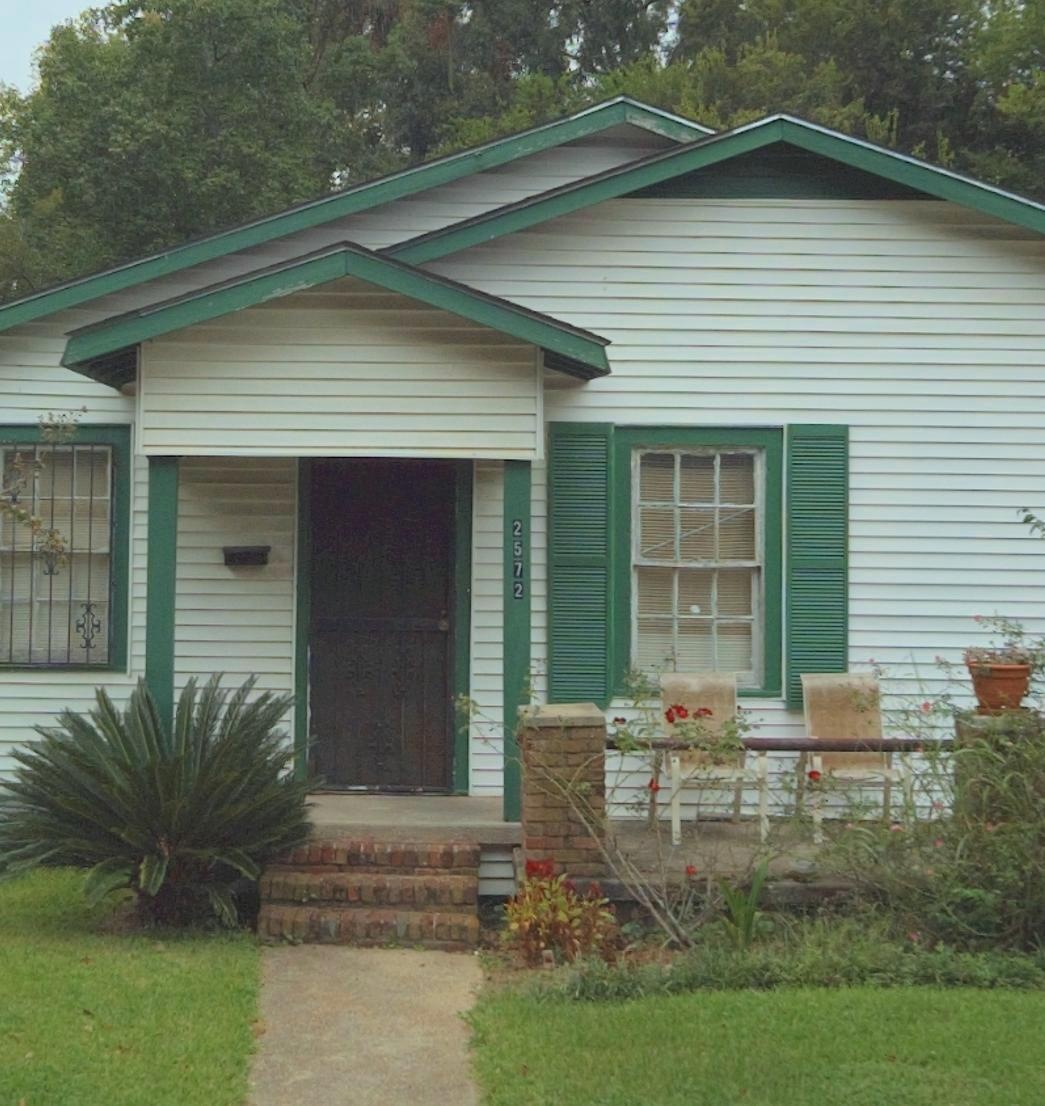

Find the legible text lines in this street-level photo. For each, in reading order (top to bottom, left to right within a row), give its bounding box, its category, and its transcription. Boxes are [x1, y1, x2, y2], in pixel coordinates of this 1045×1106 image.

[512, 520, 523, 599] StreetNumber: 2572